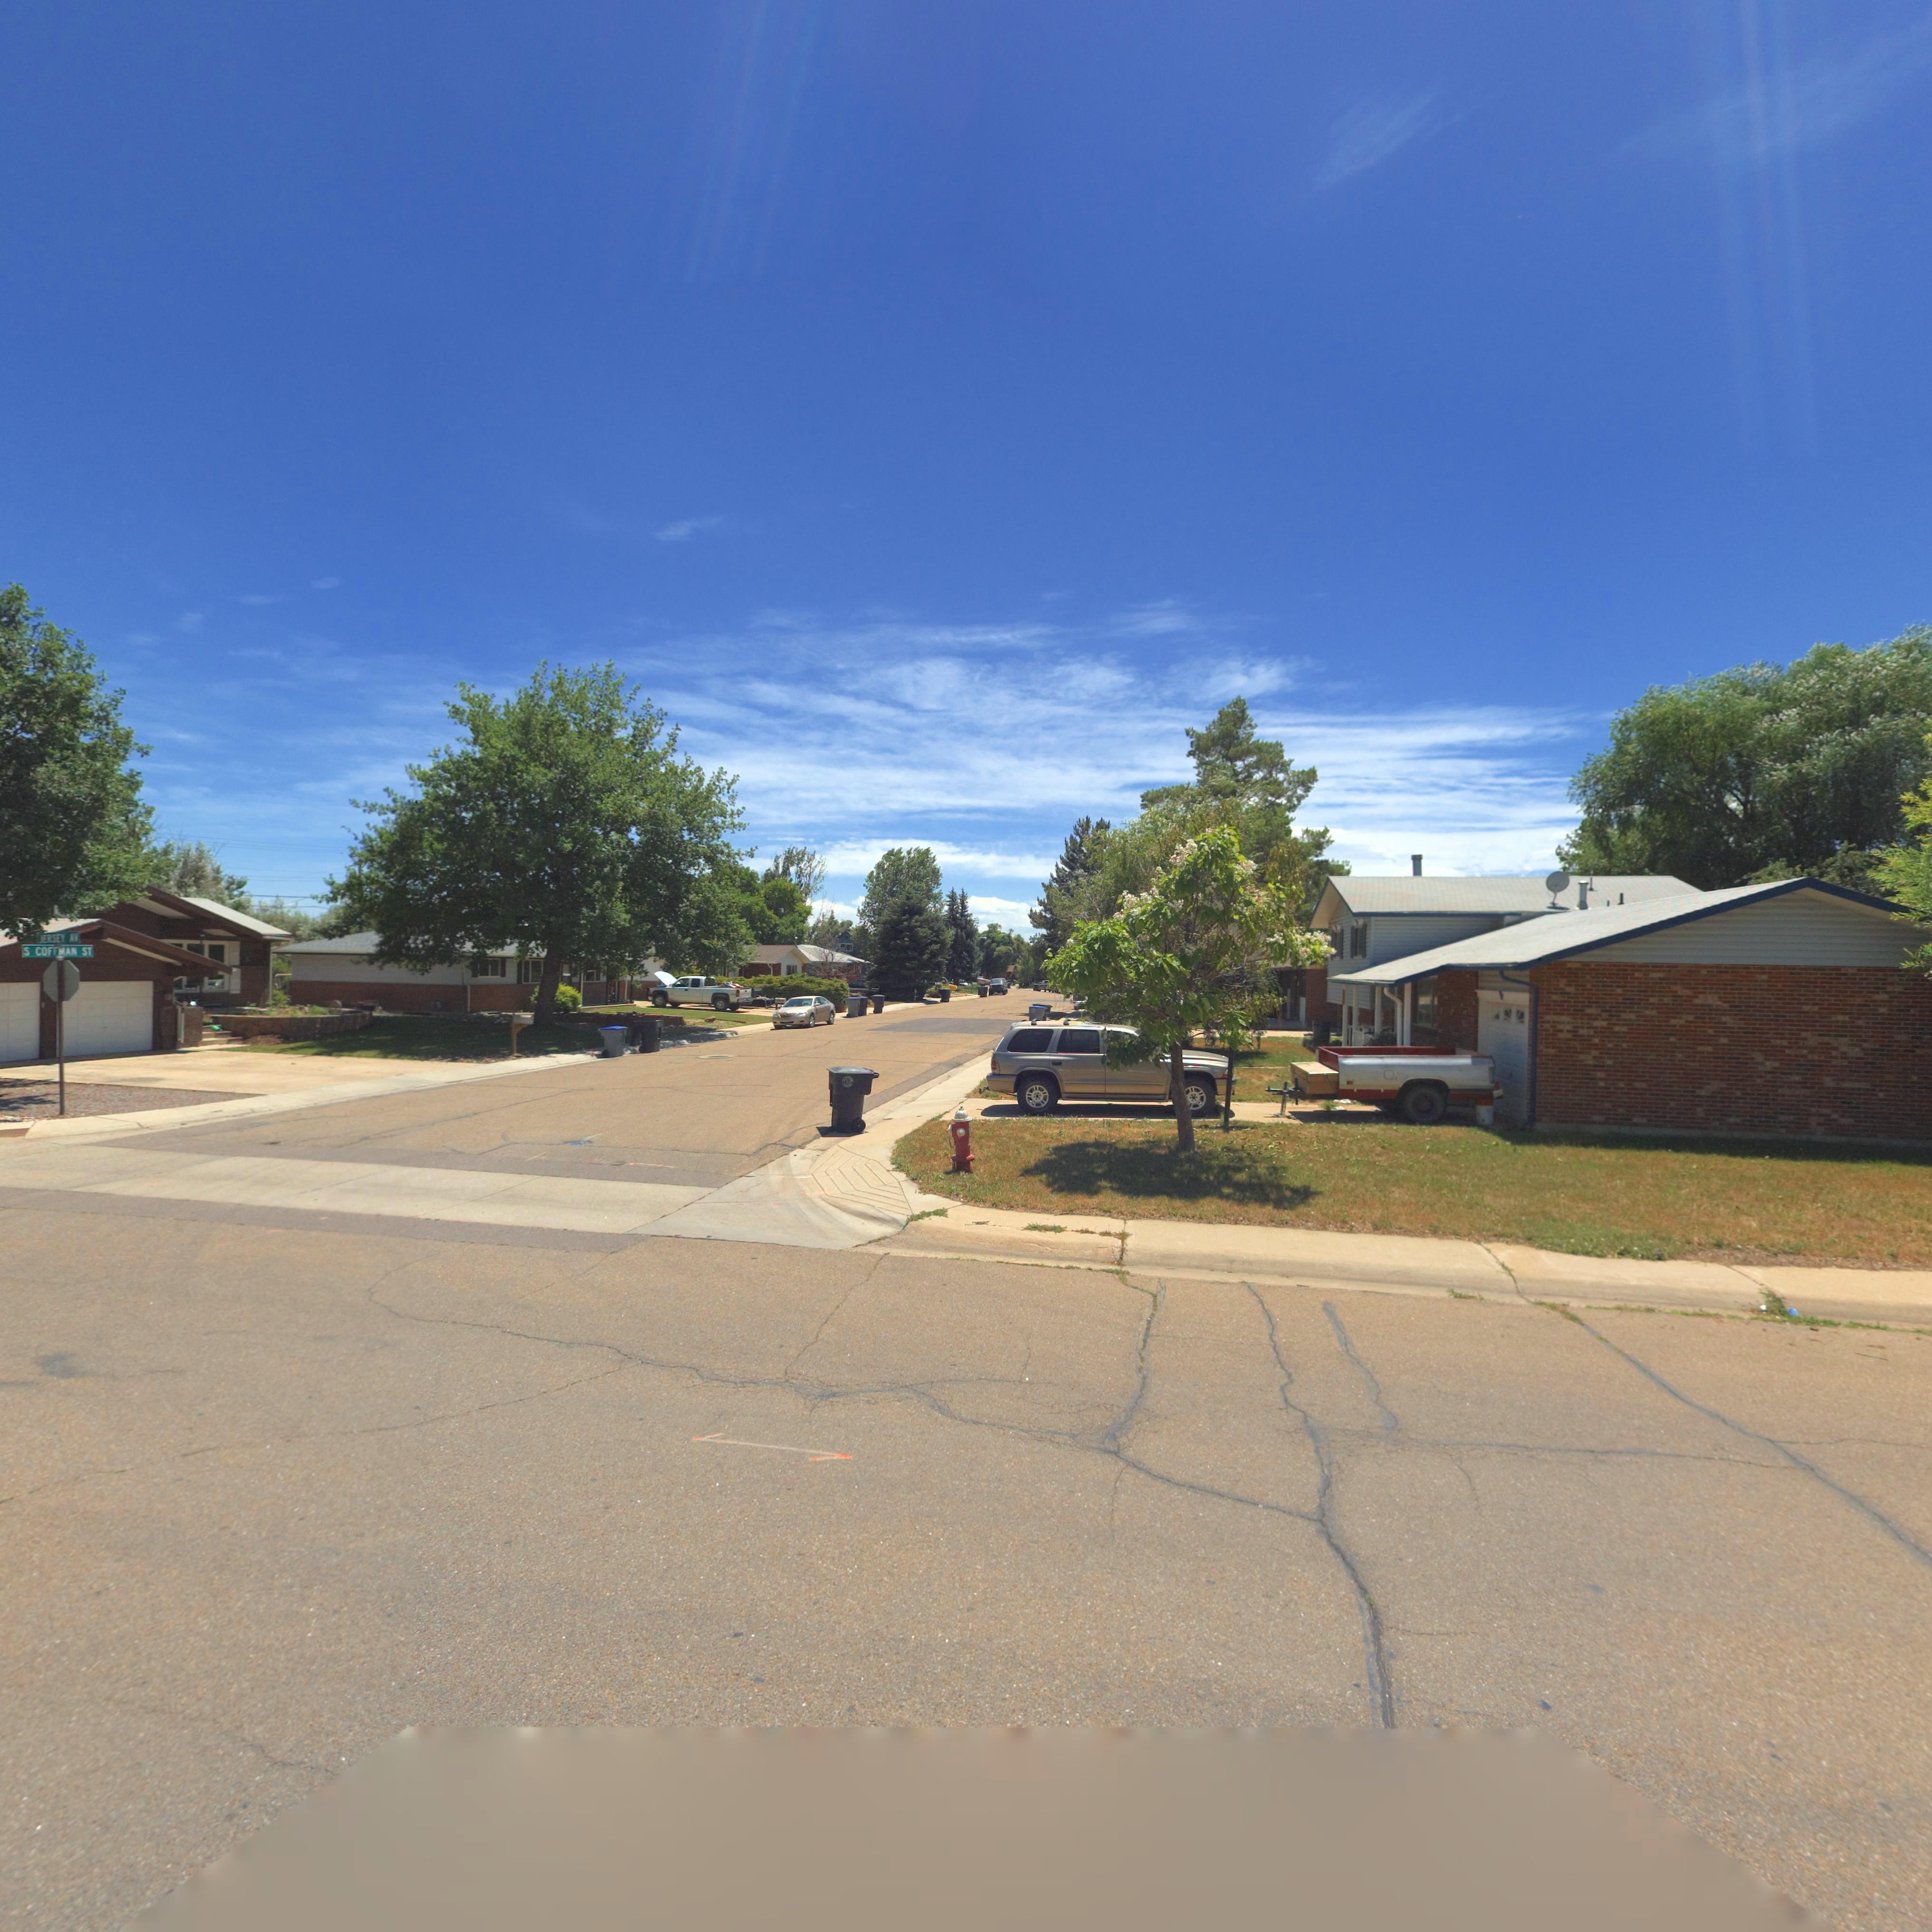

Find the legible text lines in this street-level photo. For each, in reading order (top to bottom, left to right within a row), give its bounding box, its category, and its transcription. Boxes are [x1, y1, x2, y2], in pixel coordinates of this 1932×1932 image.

[39, 932, 78, 944] StreetName: JERSEY AV
[22, 946, 93, 956] StreetName: S COFFMAN ST